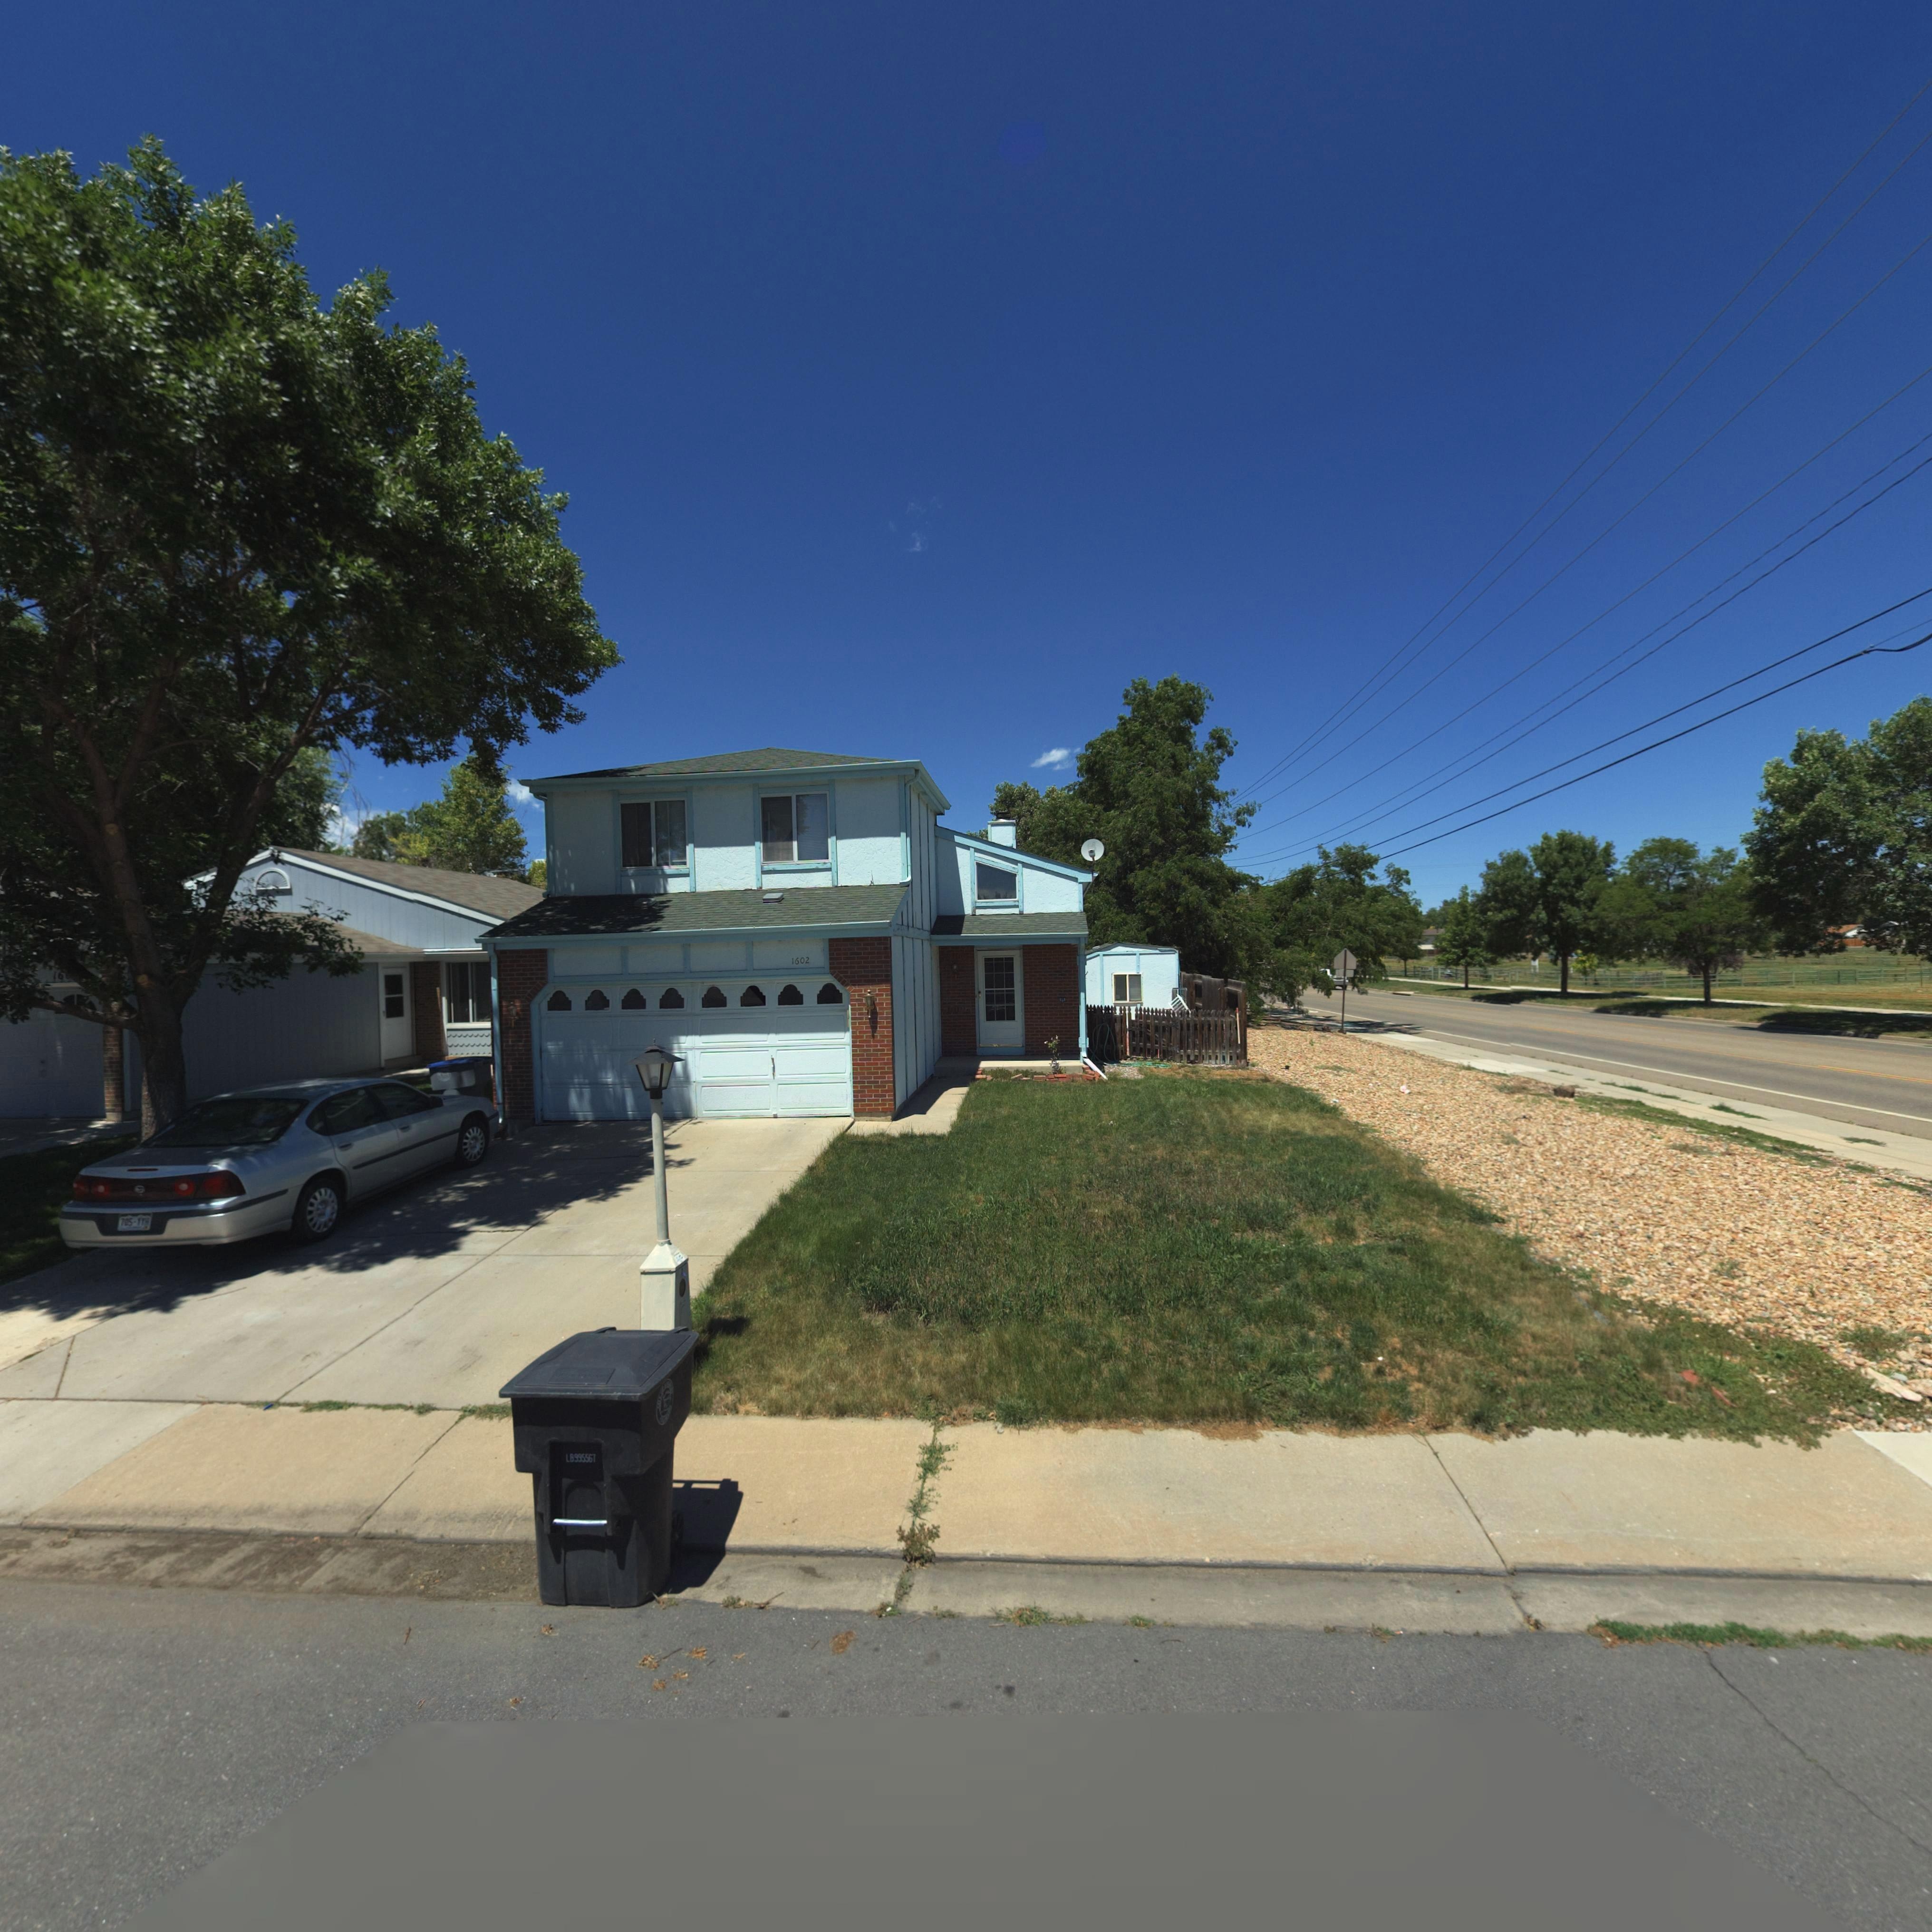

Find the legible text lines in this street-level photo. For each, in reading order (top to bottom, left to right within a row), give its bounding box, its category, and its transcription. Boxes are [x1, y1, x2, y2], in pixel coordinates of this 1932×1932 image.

[792, 956, 810, 965] StreetNumber: 1602
[52, 970, 71, 980] StreetNumber: 16*